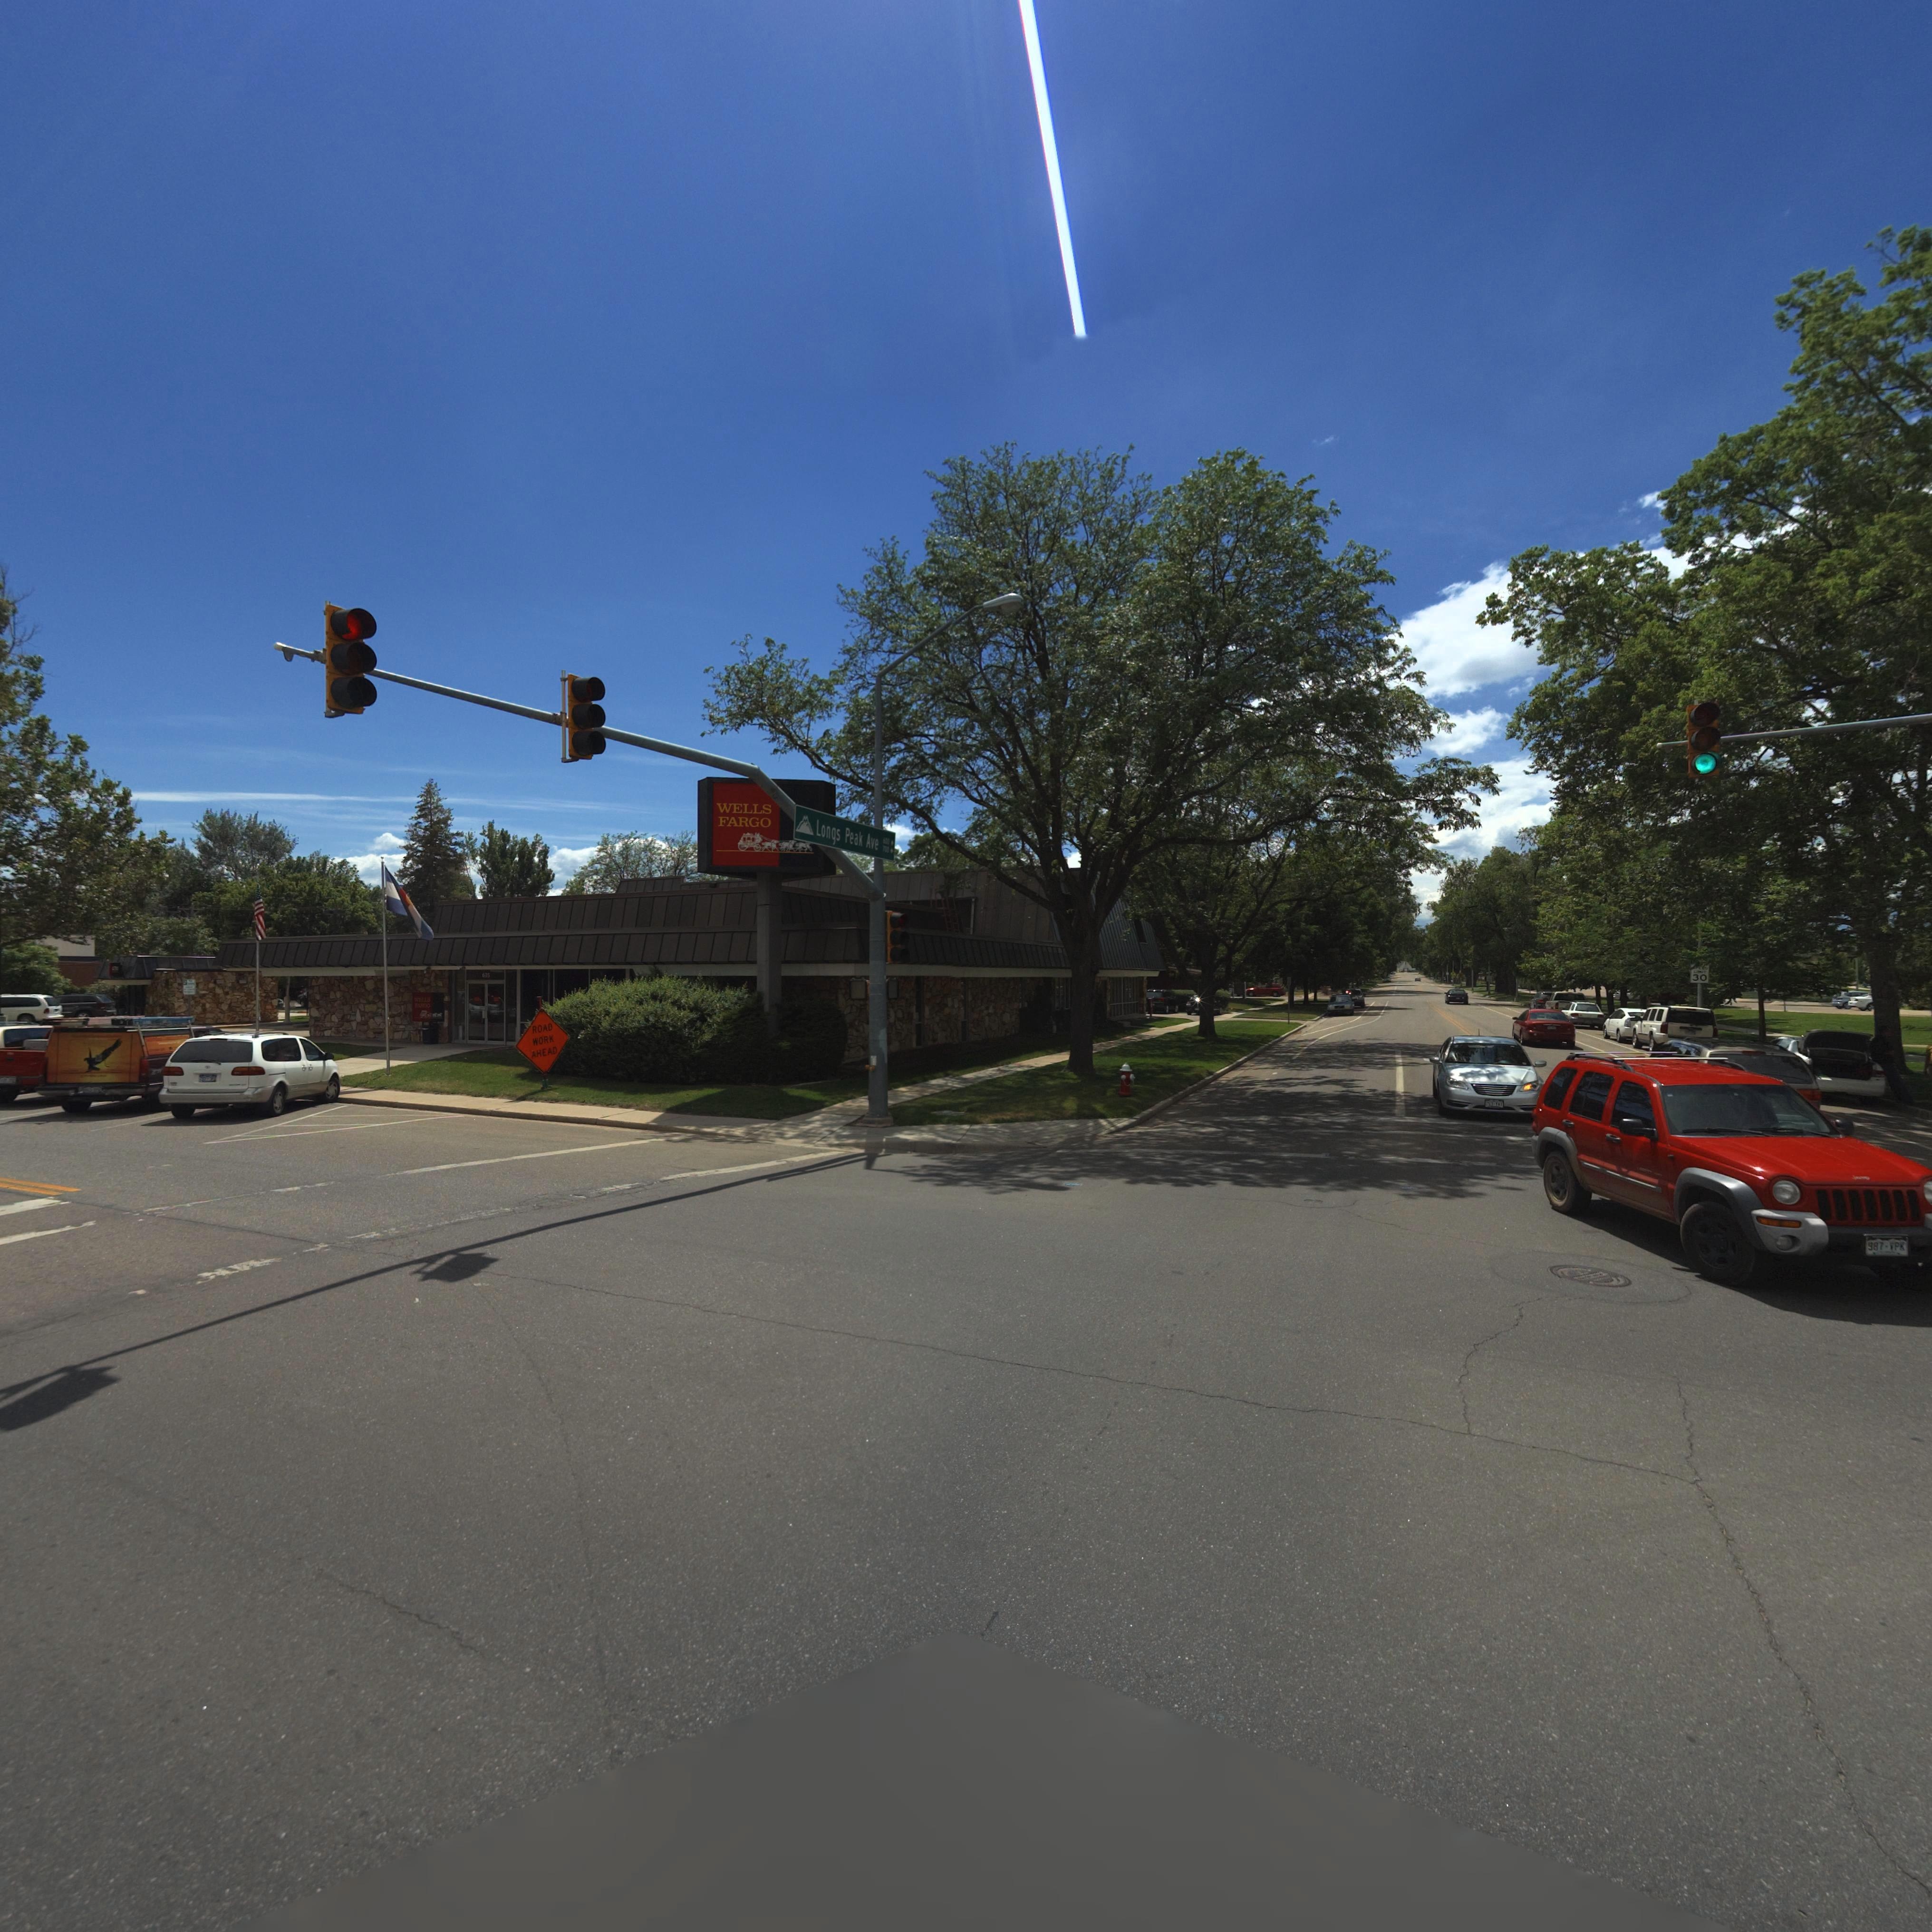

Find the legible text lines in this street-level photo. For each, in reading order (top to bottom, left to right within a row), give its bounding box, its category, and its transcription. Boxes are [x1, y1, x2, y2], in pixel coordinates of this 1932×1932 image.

[716, 802, 771, 814] BusinessName: WELLS
[718, 816, 772, 828] BusinessName: FARGO
[816, 820, 879, 850] StreetName: Longs Peak Ave
[883, 836, 890, 845] StreetNumberRange: 600
[882, 845, 894, 853] StreetNumberRange: 700 ->
[482, 972, 490, 977] StreetNumber: 635
[414, 997, 430, 1002] BusinessName: WELL*
[415, 1003, 430, 1008] BusinessName: F****O